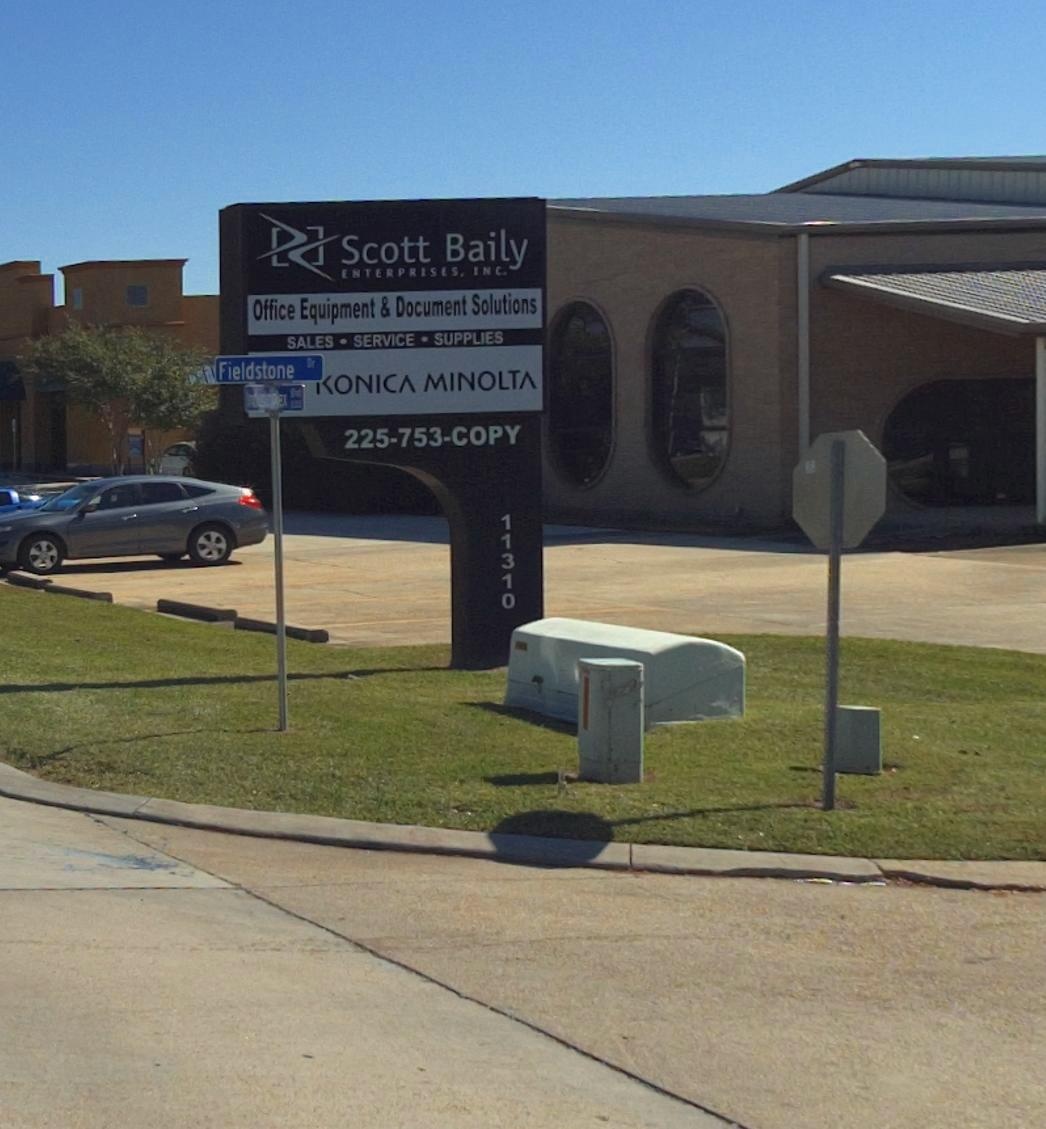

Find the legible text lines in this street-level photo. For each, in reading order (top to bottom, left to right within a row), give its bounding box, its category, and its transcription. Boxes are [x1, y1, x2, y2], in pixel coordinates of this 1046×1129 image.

[340, 226, 532, 273] BusinessName: Scott Baily
[341, 265, 508, 280] BusinessName: ENTERPRISES, INC.
[252, 292, 538, 326] None: Office Equipment & Document Solutions
[284, 330, 504, 351] None: SALES * SERVICE * SUPPLIES
[218, 360, 296, 381] None: Fieldstone
[291, 385, 303, 398] None: Blvd
[306, 357, 318, 369] None: Dr
[333, 368, 540, 396] BusinessName: ONICAMINOLTA
[343, 423, 524, 450] None: 225-753-COPY
[499, 509, 517, 611] StreetNumber: 11310